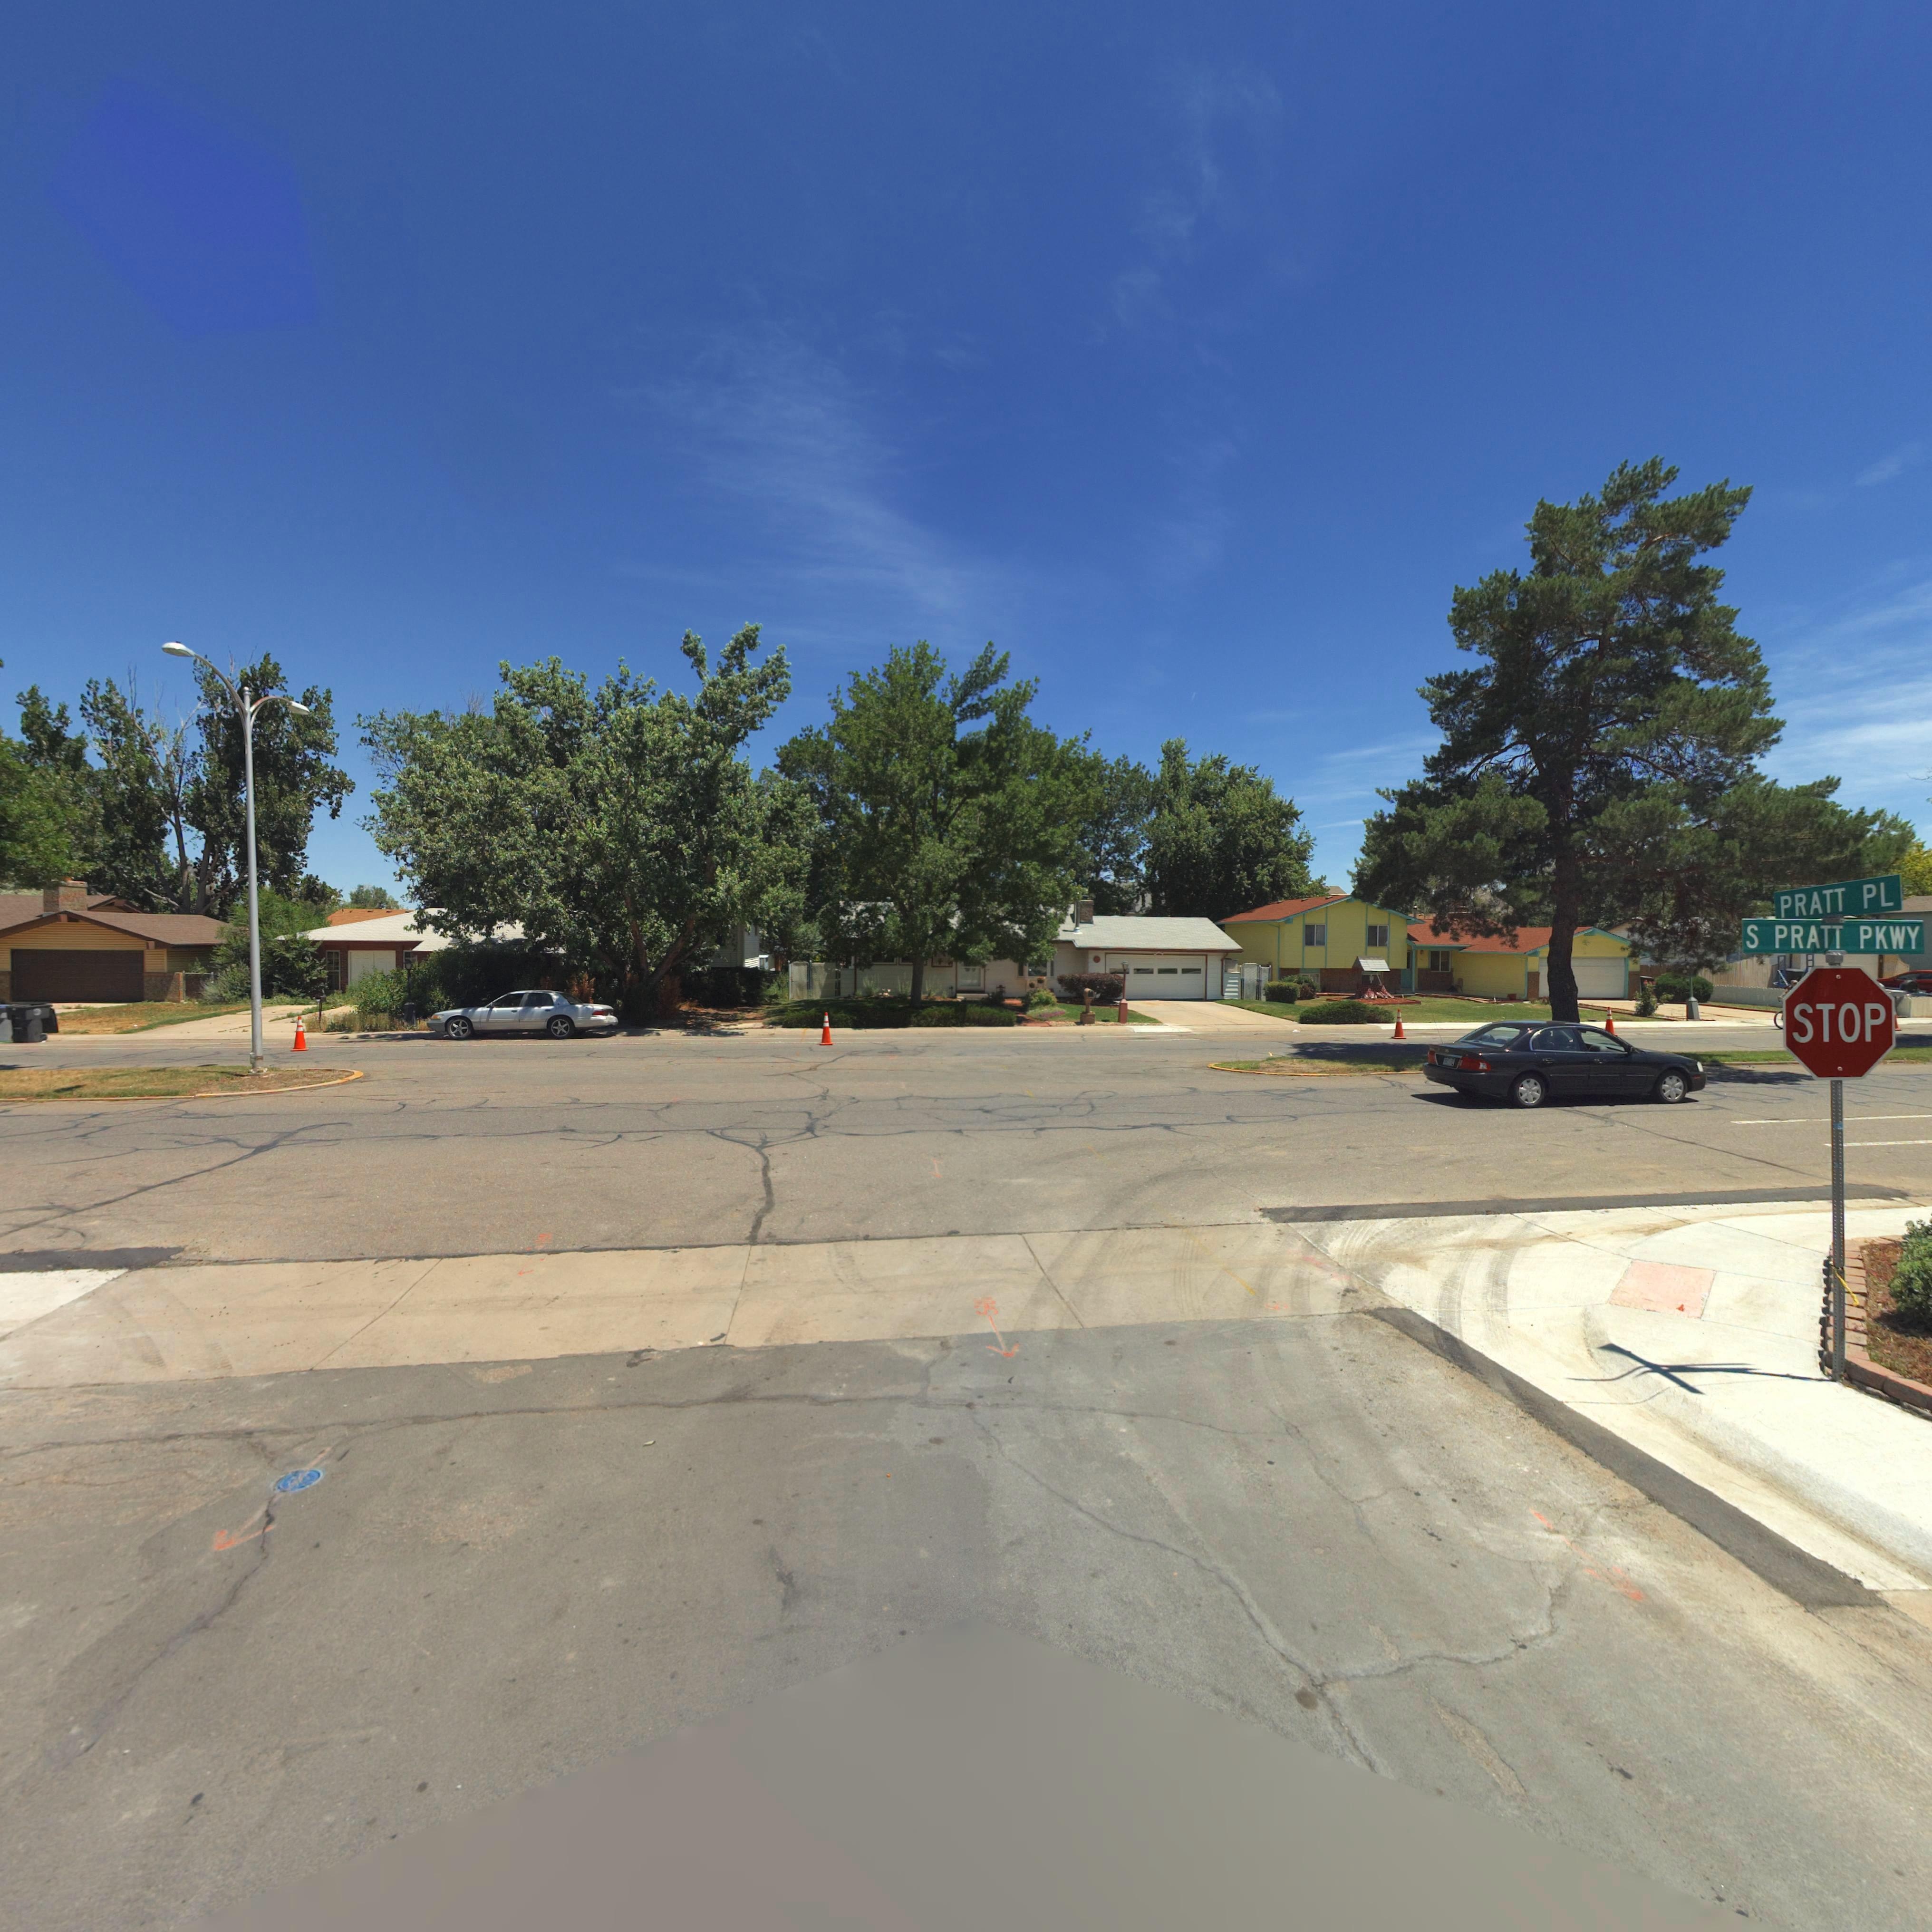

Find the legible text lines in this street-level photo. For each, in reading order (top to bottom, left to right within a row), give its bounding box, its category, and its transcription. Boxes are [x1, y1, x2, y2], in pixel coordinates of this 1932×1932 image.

[1779, 881, 1894, 918] StreetName: PRATT PL
[1745, 924, 1921, 950] StreetName: S PRATT PKWY